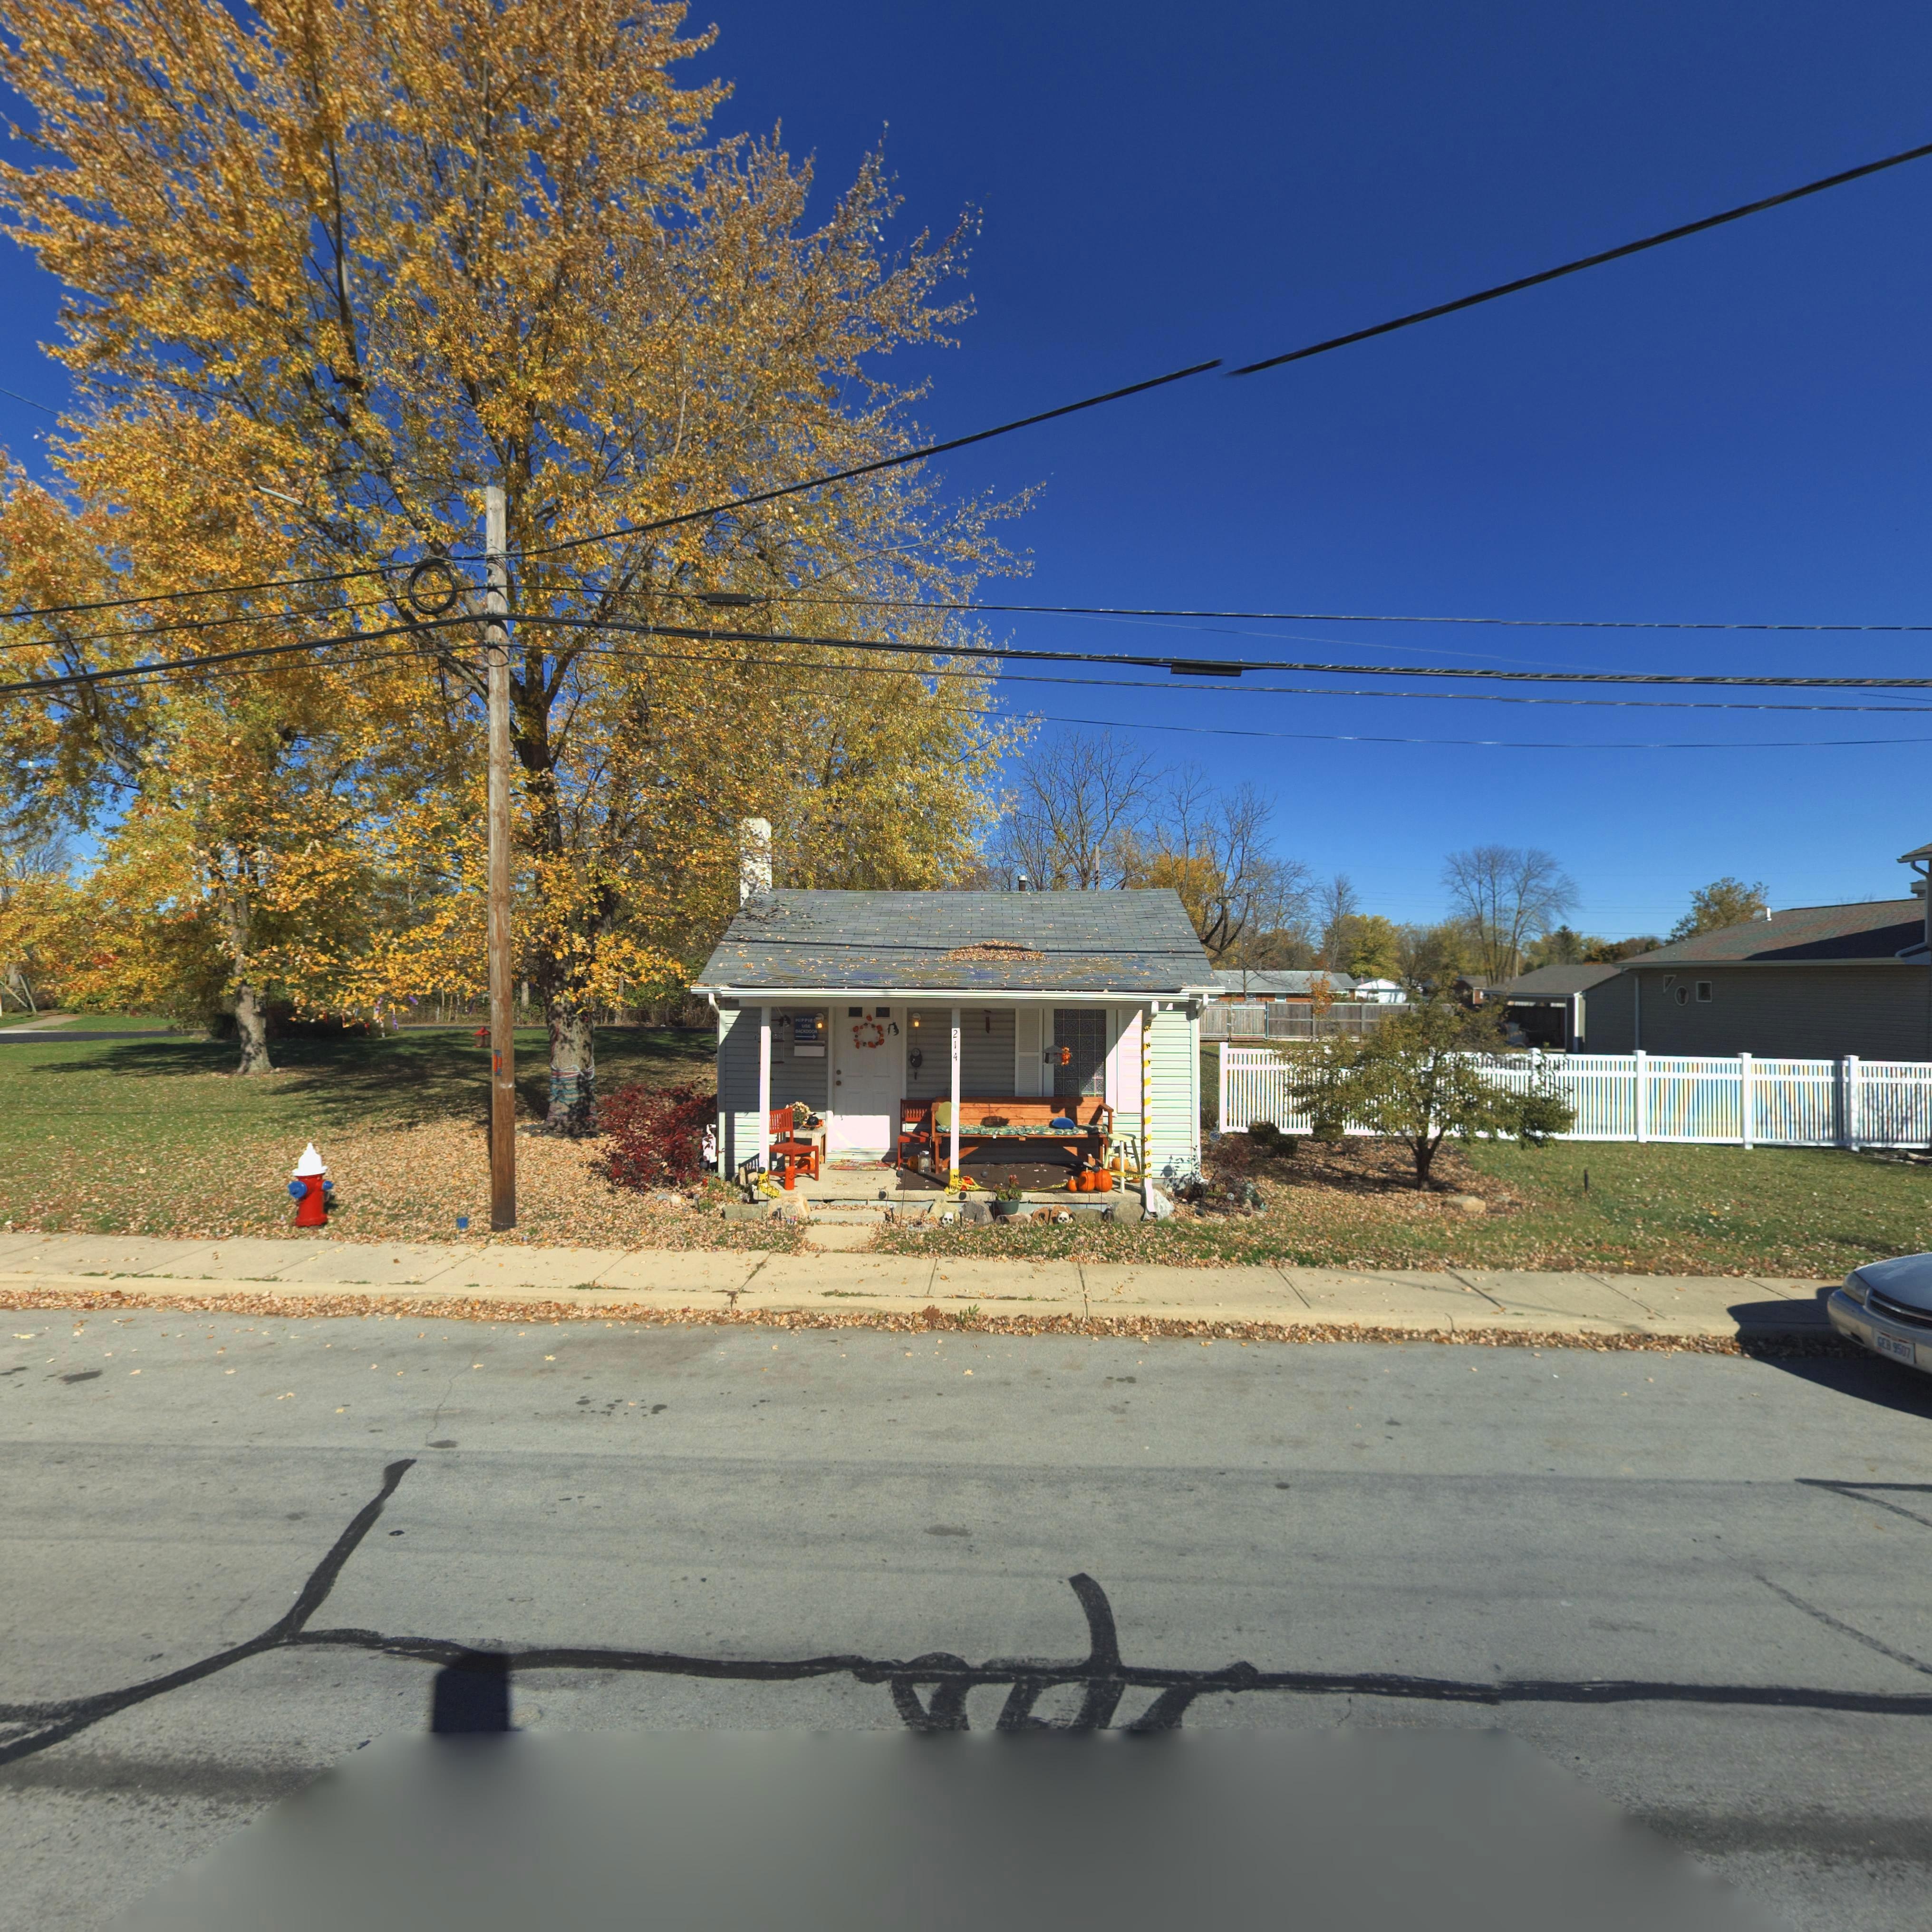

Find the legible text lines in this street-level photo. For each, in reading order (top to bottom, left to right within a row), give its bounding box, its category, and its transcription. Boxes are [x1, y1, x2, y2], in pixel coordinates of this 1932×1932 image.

[795, 1018, 813, 1023] None: HIPPIE
[801, 1024, 811, 1028] None: USE
[794, 1029, 818, 1034] None: BACKDOOR
[952, 1029, 958, 1062] StreetNumber: 214
[1876, 1334, 1913, 1360] None: GEB*9507